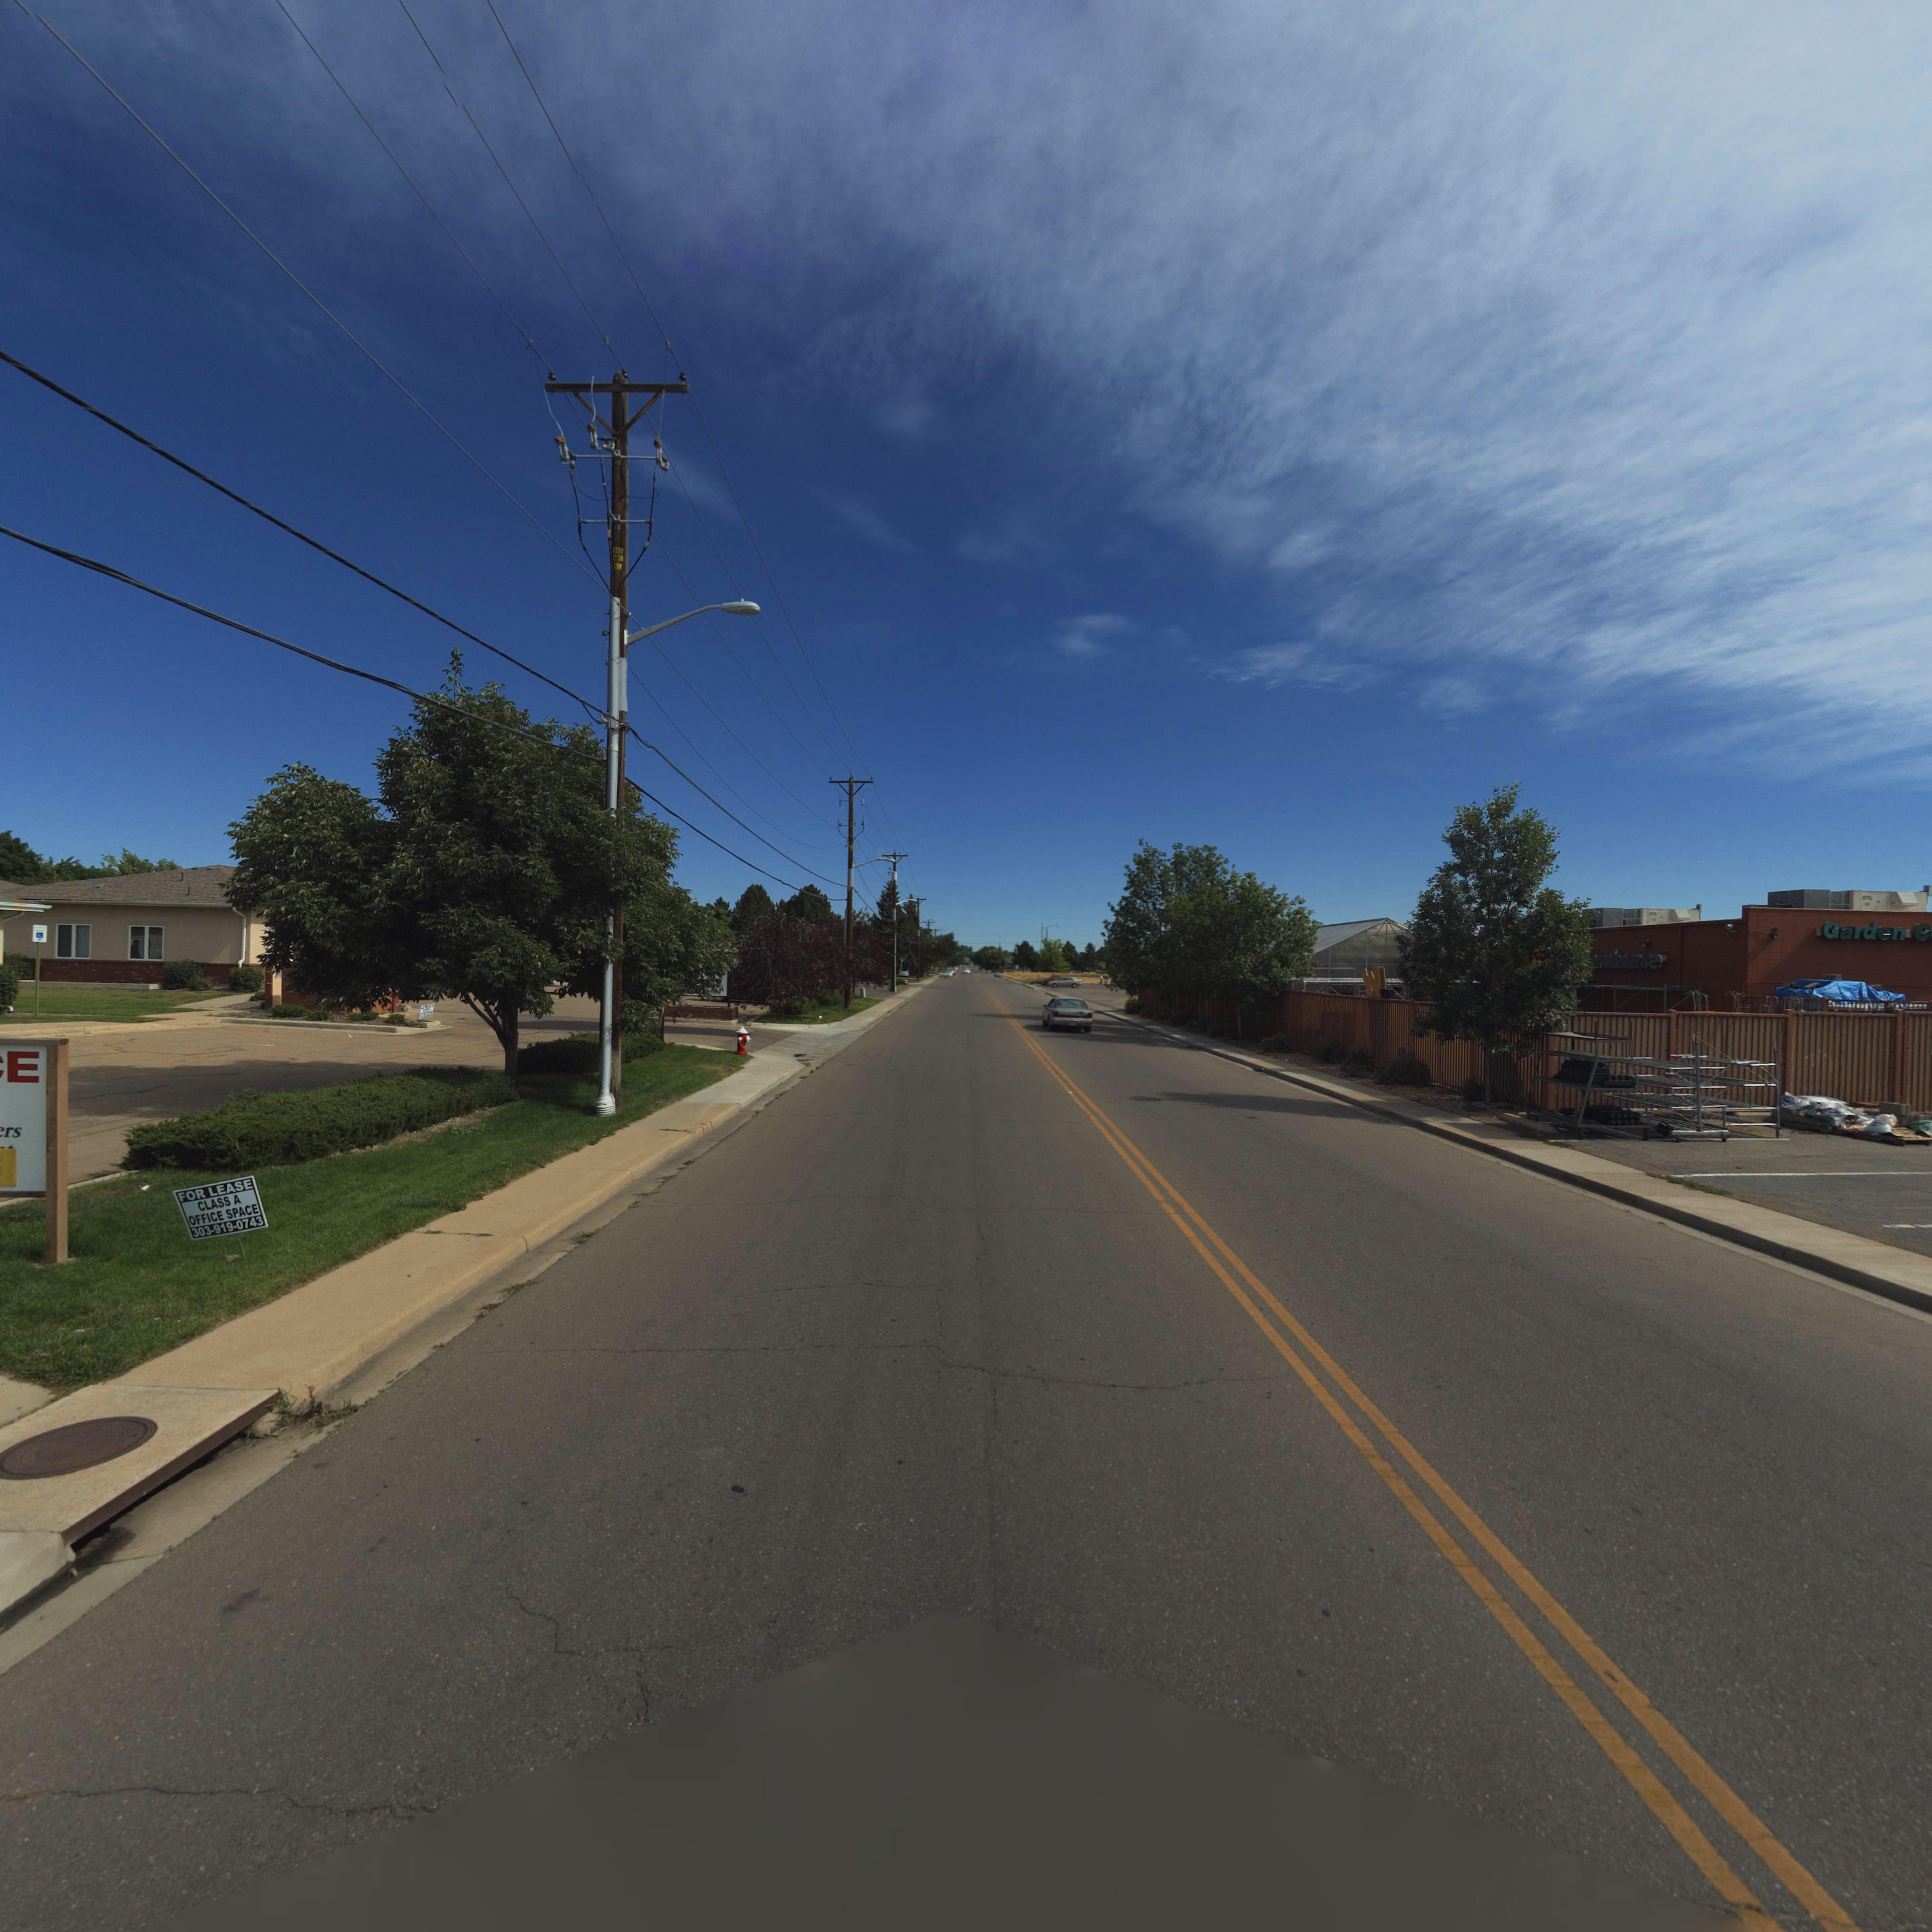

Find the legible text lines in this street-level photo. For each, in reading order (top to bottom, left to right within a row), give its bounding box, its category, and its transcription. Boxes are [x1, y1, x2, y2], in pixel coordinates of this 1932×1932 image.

[1589, 948, 1664, 969] BusinessName: *rdware